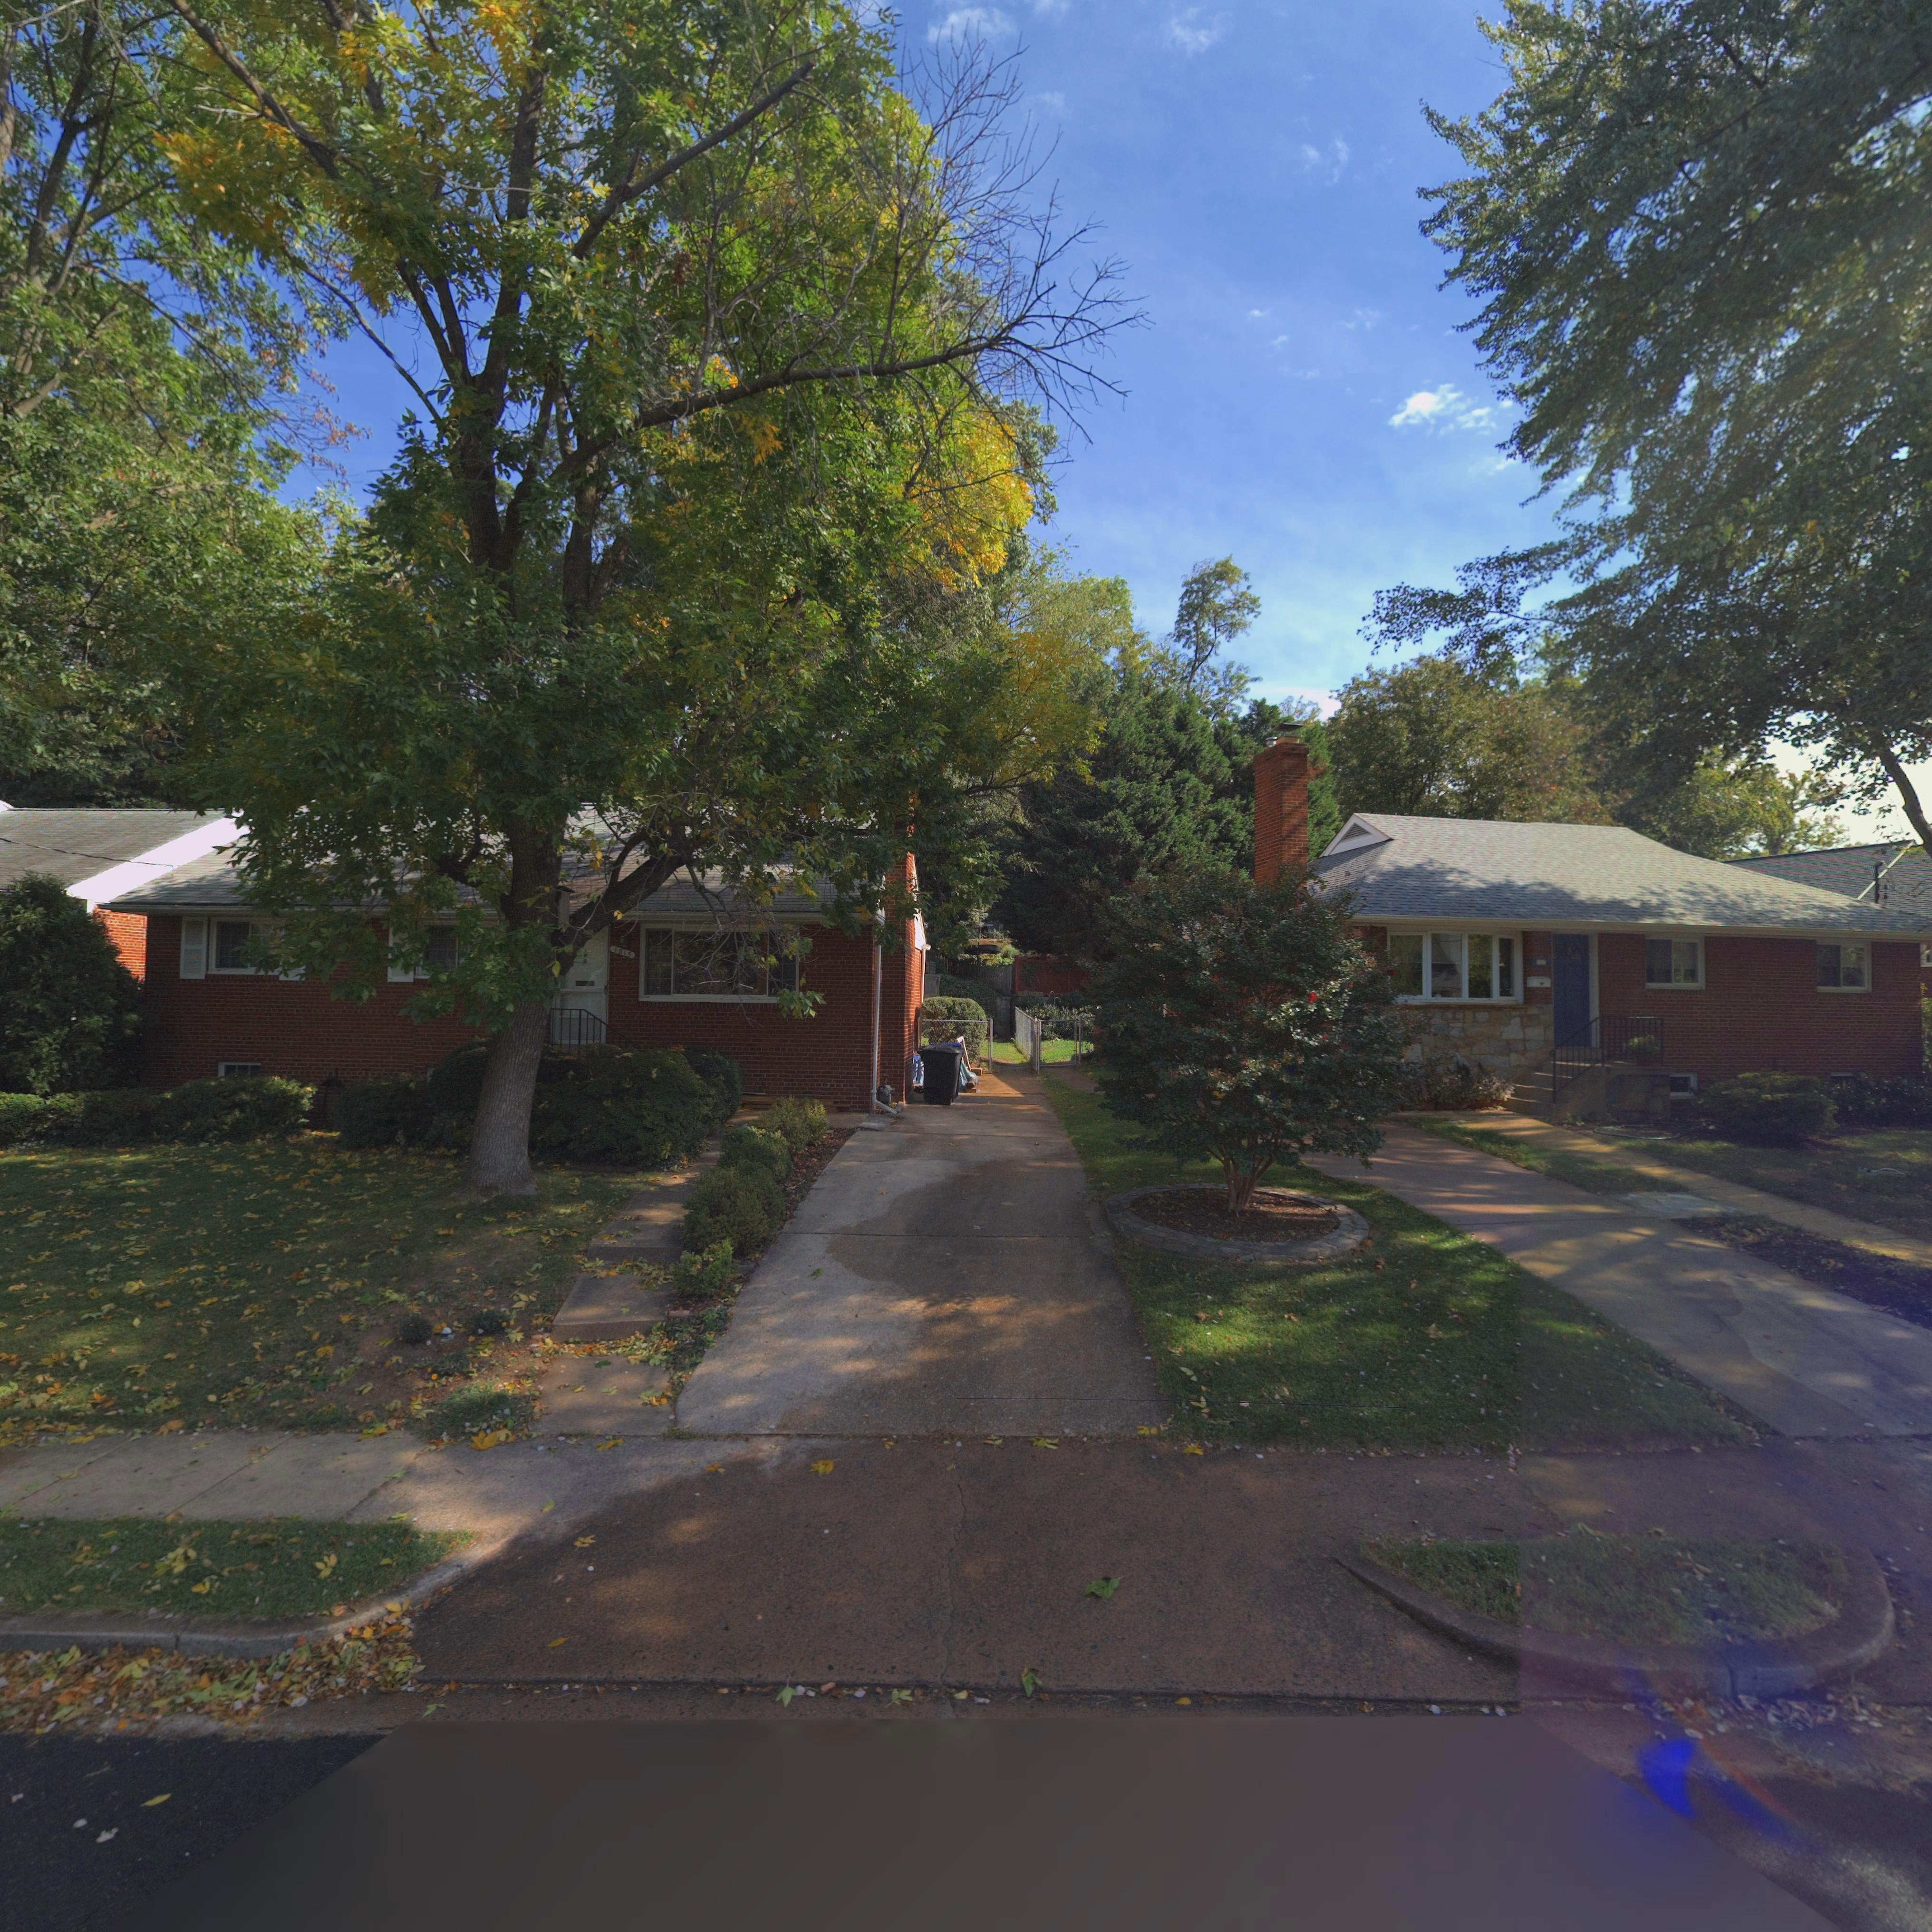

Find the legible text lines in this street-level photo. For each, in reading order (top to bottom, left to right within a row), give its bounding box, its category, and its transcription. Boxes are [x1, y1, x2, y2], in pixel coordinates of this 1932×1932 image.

[614, 945, 632, 958] StreetNumber: 1815